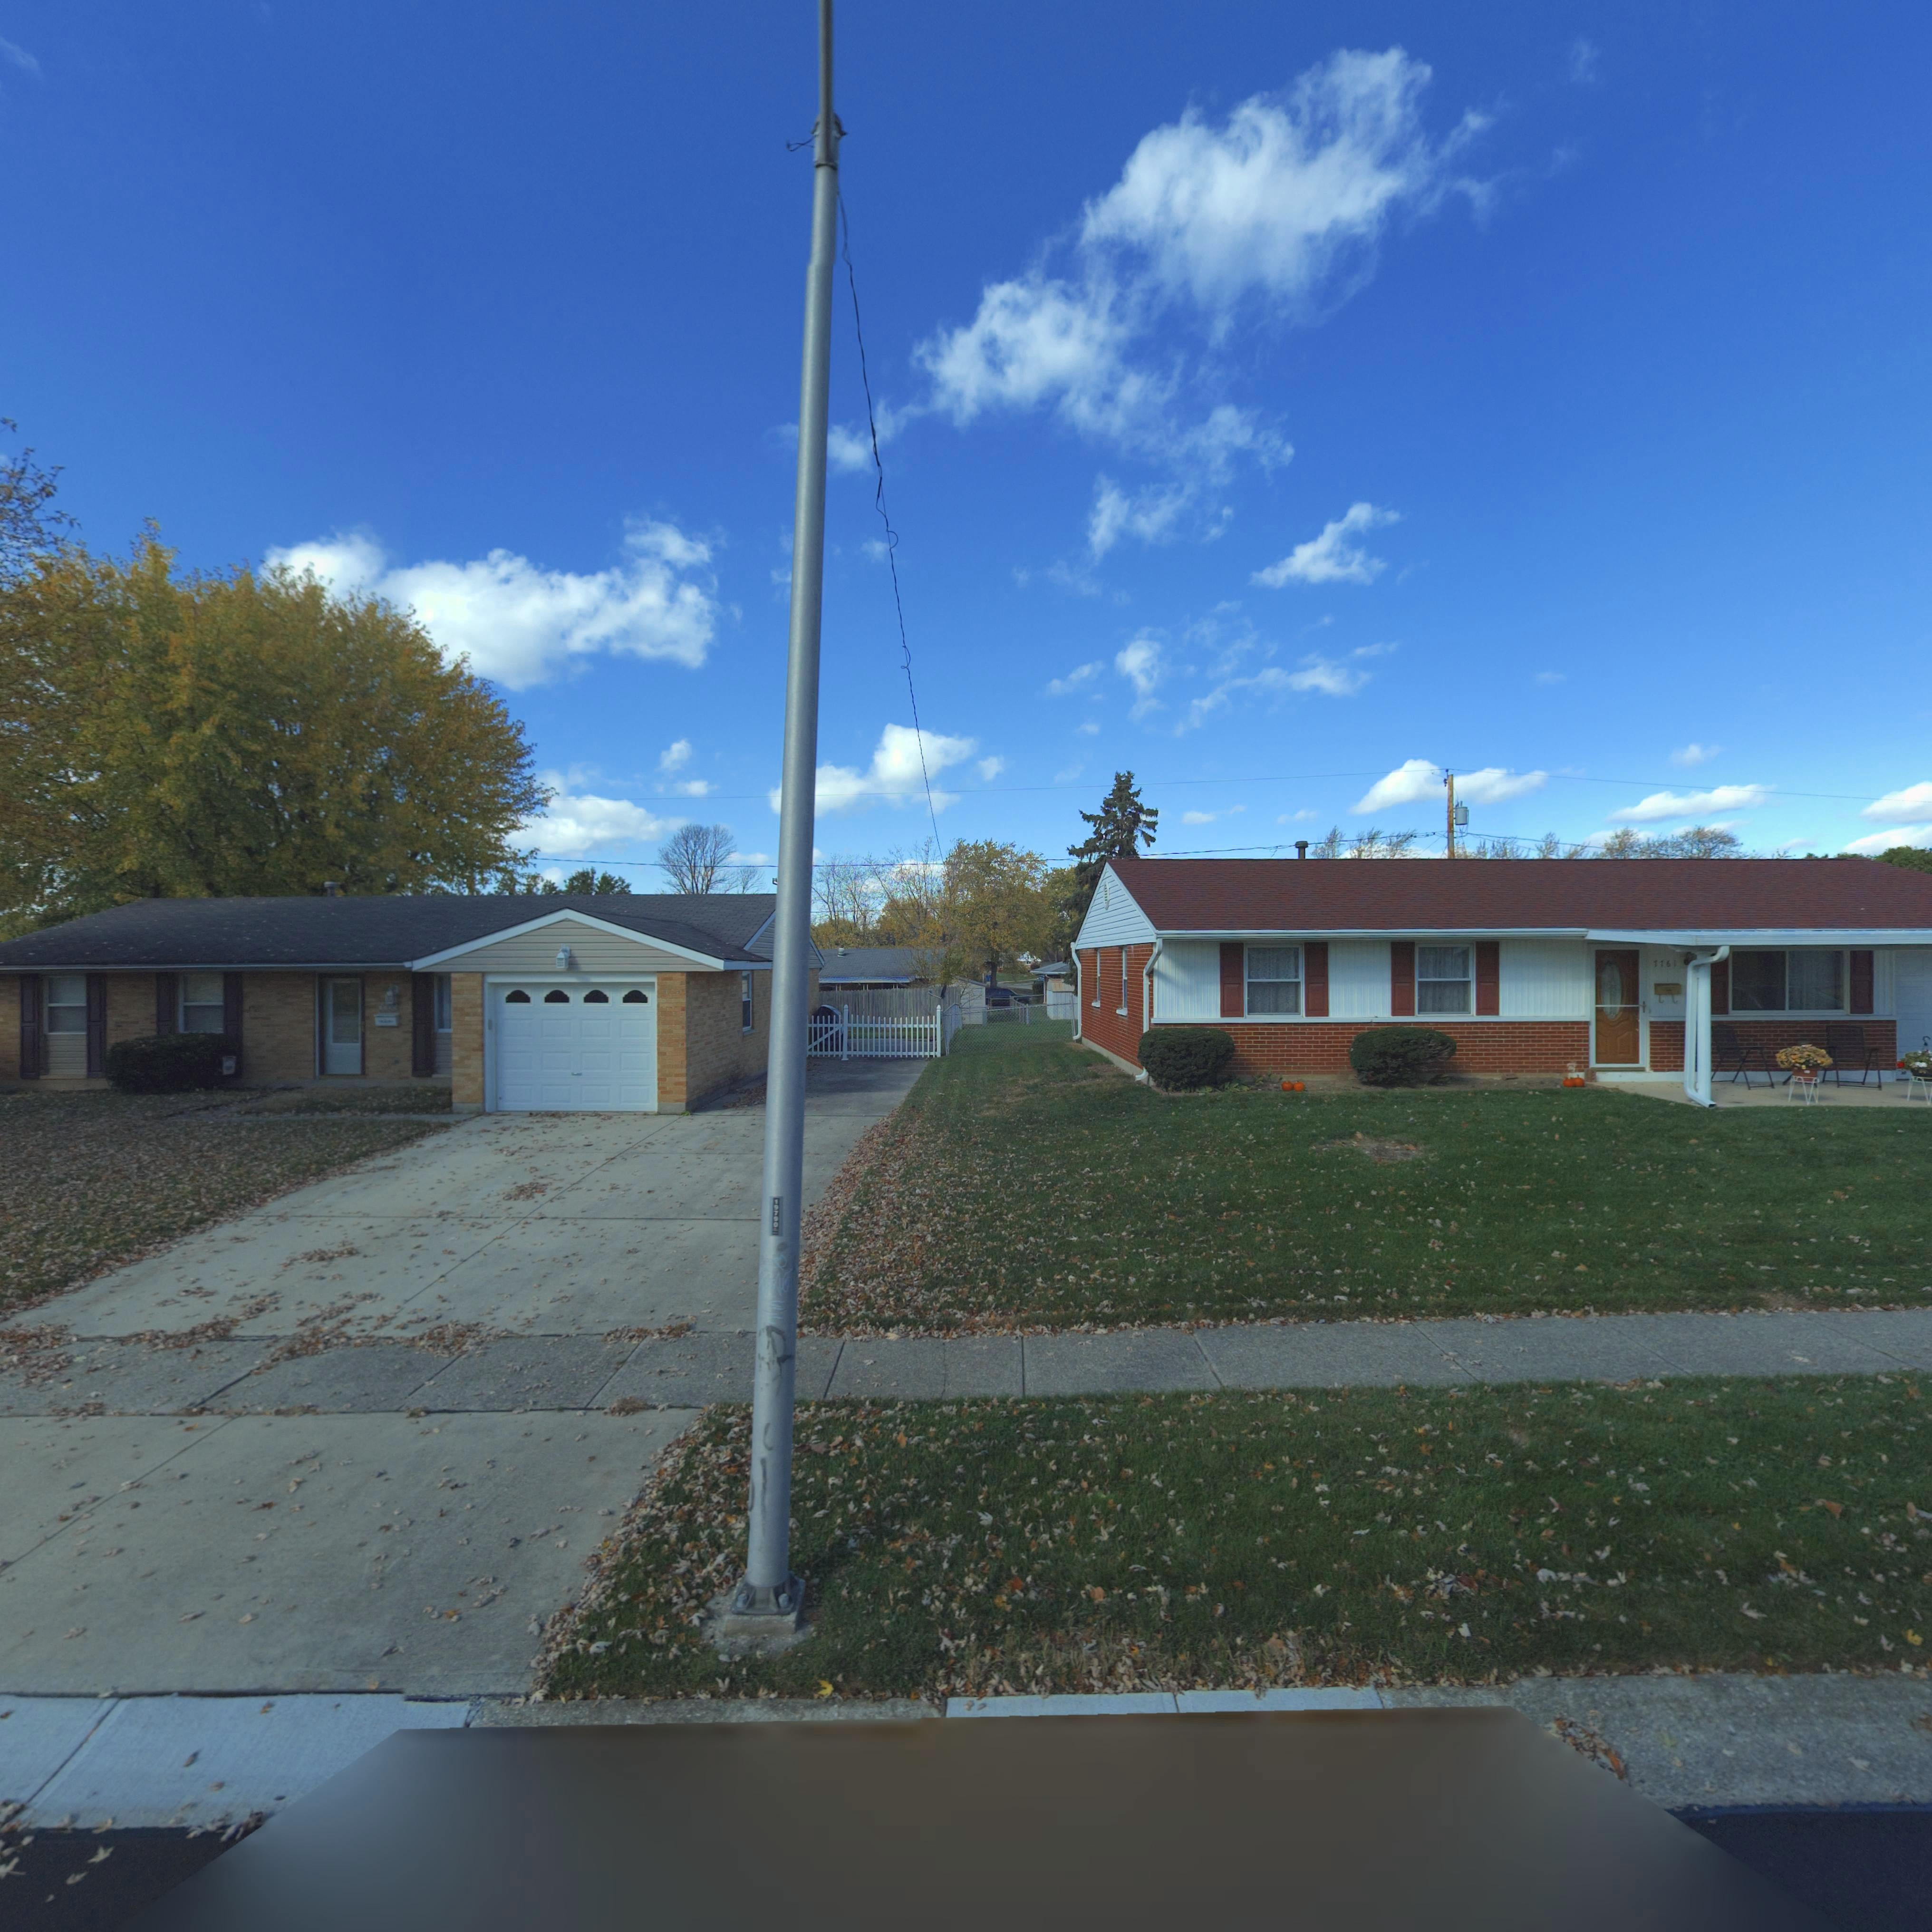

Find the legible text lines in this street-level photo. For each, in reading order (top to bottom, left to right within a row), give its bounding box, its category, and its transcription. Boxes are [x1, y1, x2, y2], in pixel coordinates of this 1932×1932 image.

[1652, 958, 1677, 968] StreetNumber: 7761